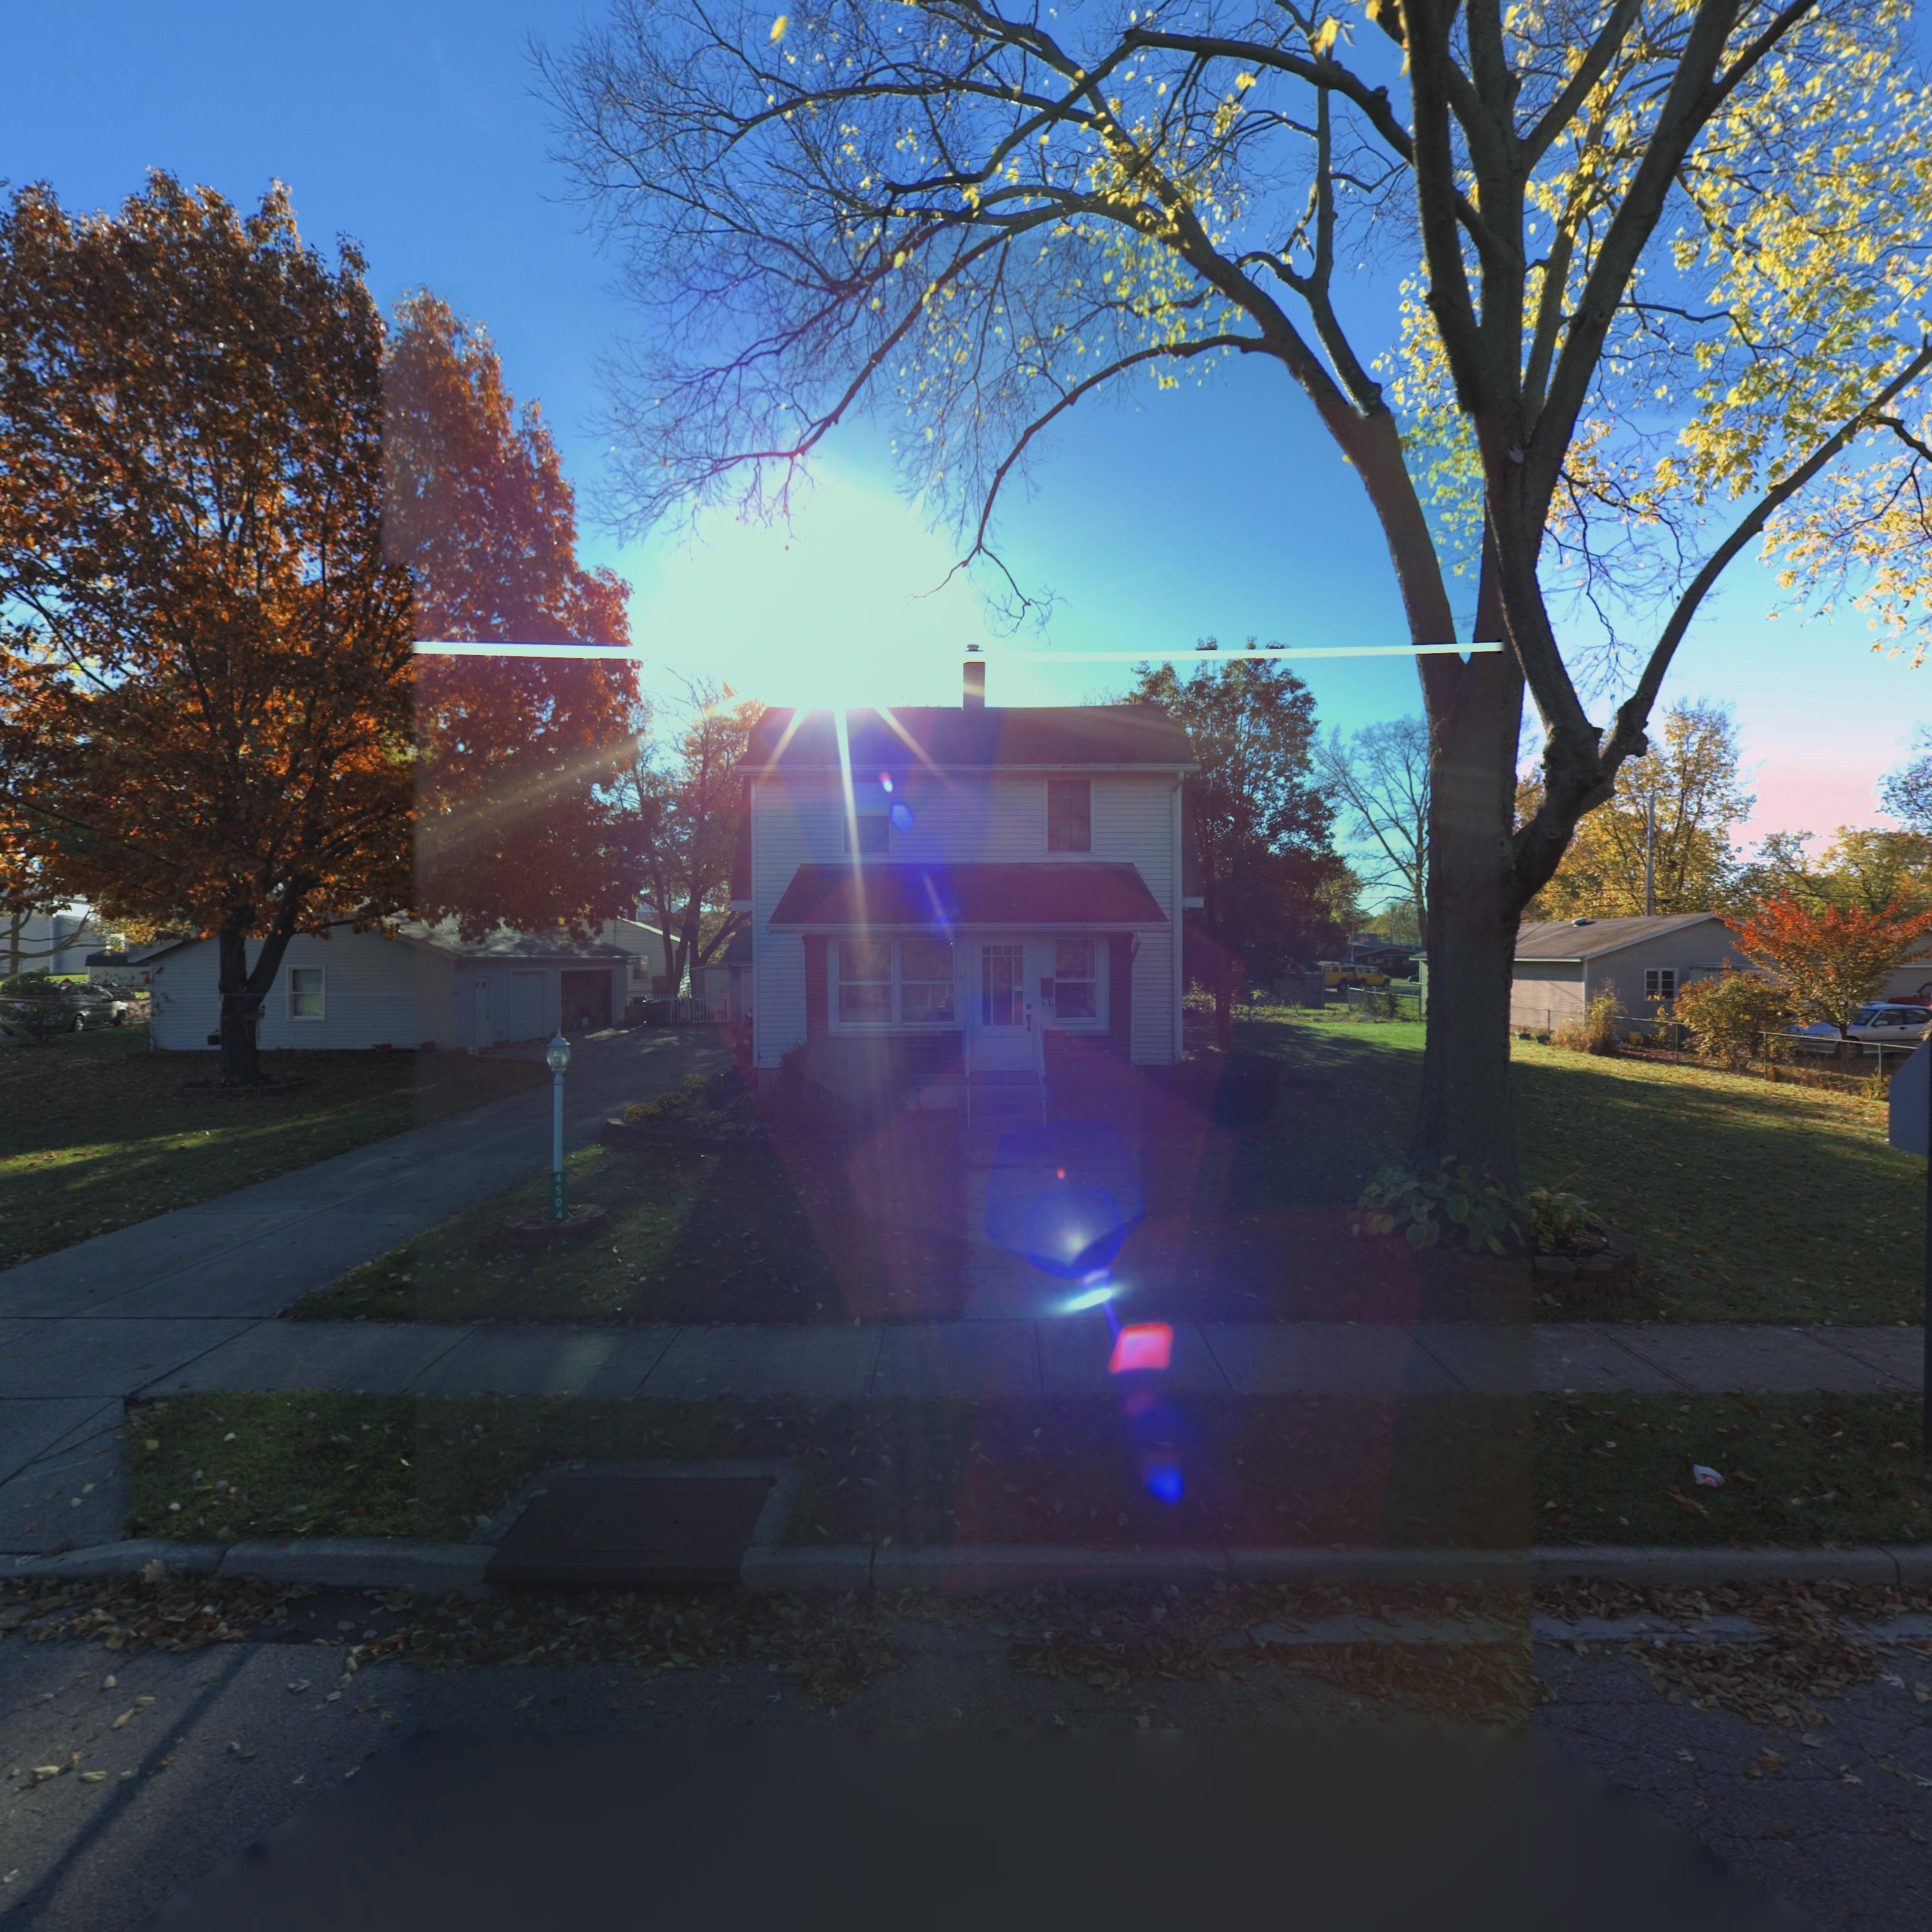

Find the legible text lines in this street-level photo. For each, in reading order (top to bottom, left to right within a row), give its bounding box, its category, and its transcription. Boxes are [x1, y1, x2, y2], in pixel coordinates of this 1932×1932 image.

[553, 1172, 563, 1219] StreetNumber: 4504